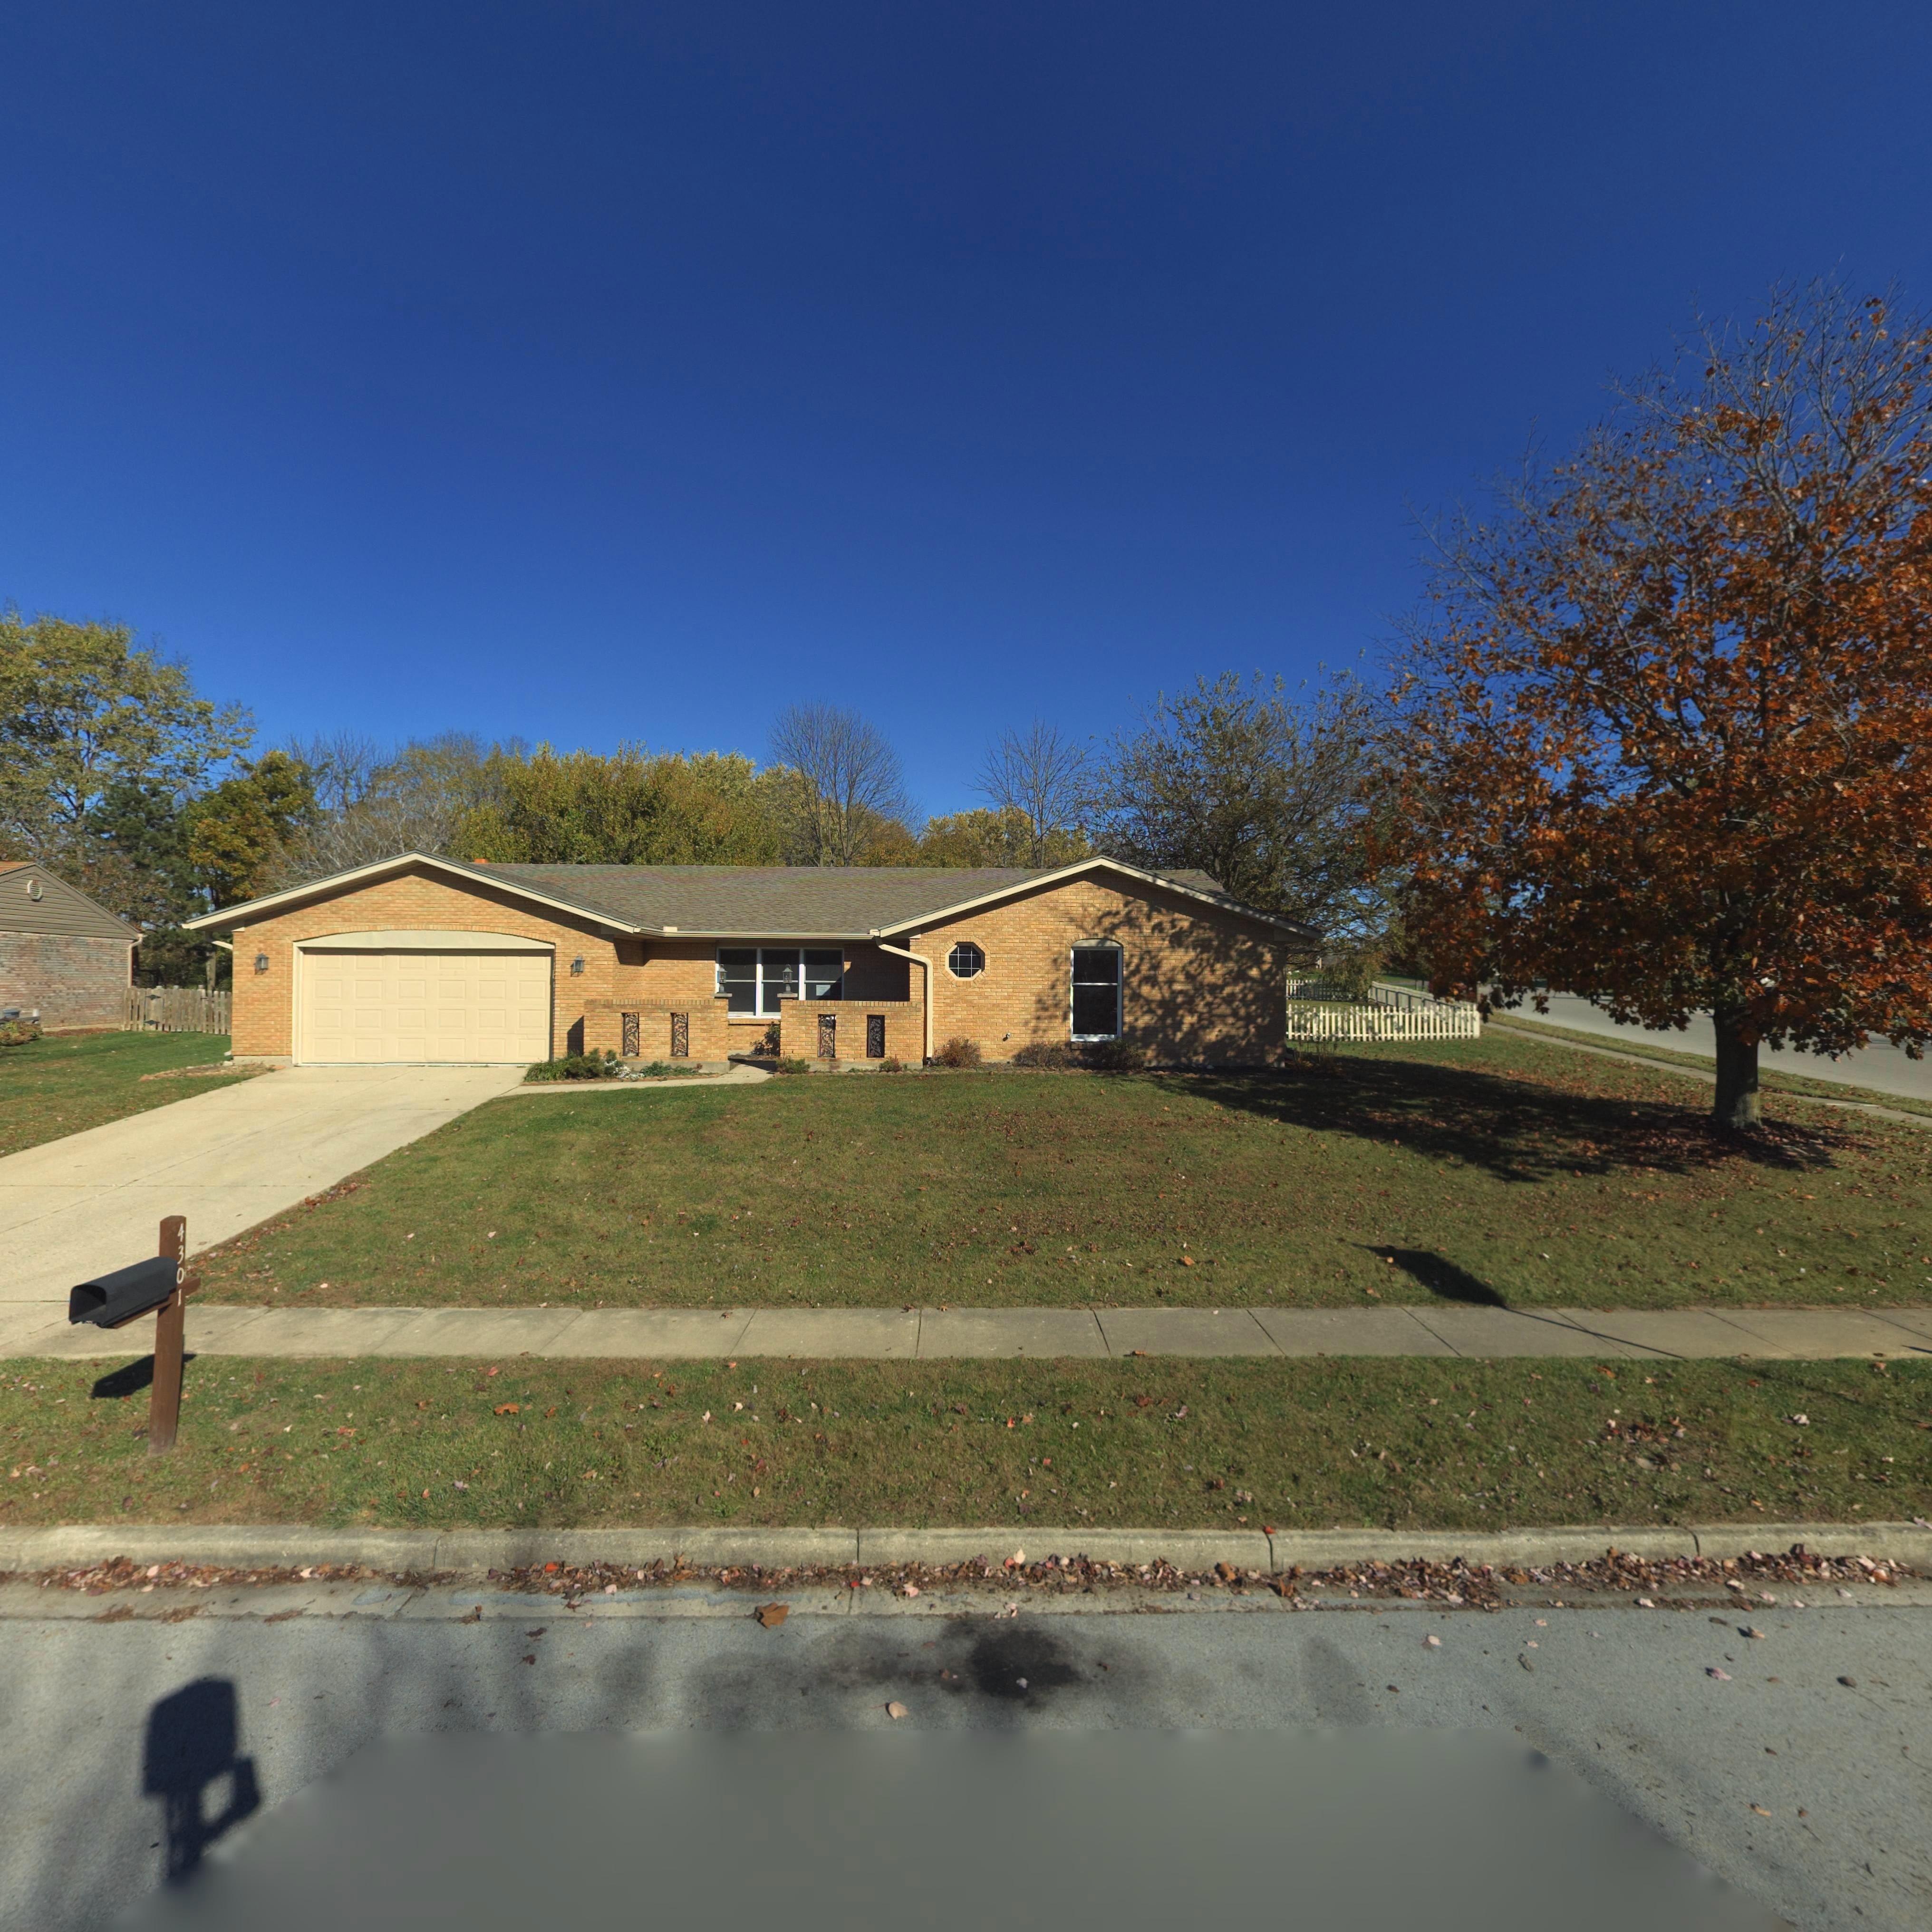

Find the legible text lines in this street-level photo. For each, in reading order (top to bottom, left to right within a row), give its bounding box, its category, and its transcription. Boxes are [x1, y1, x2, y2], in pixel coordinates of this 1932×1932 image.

[176, 1221, 185, 1309] StreetNumber: 4301